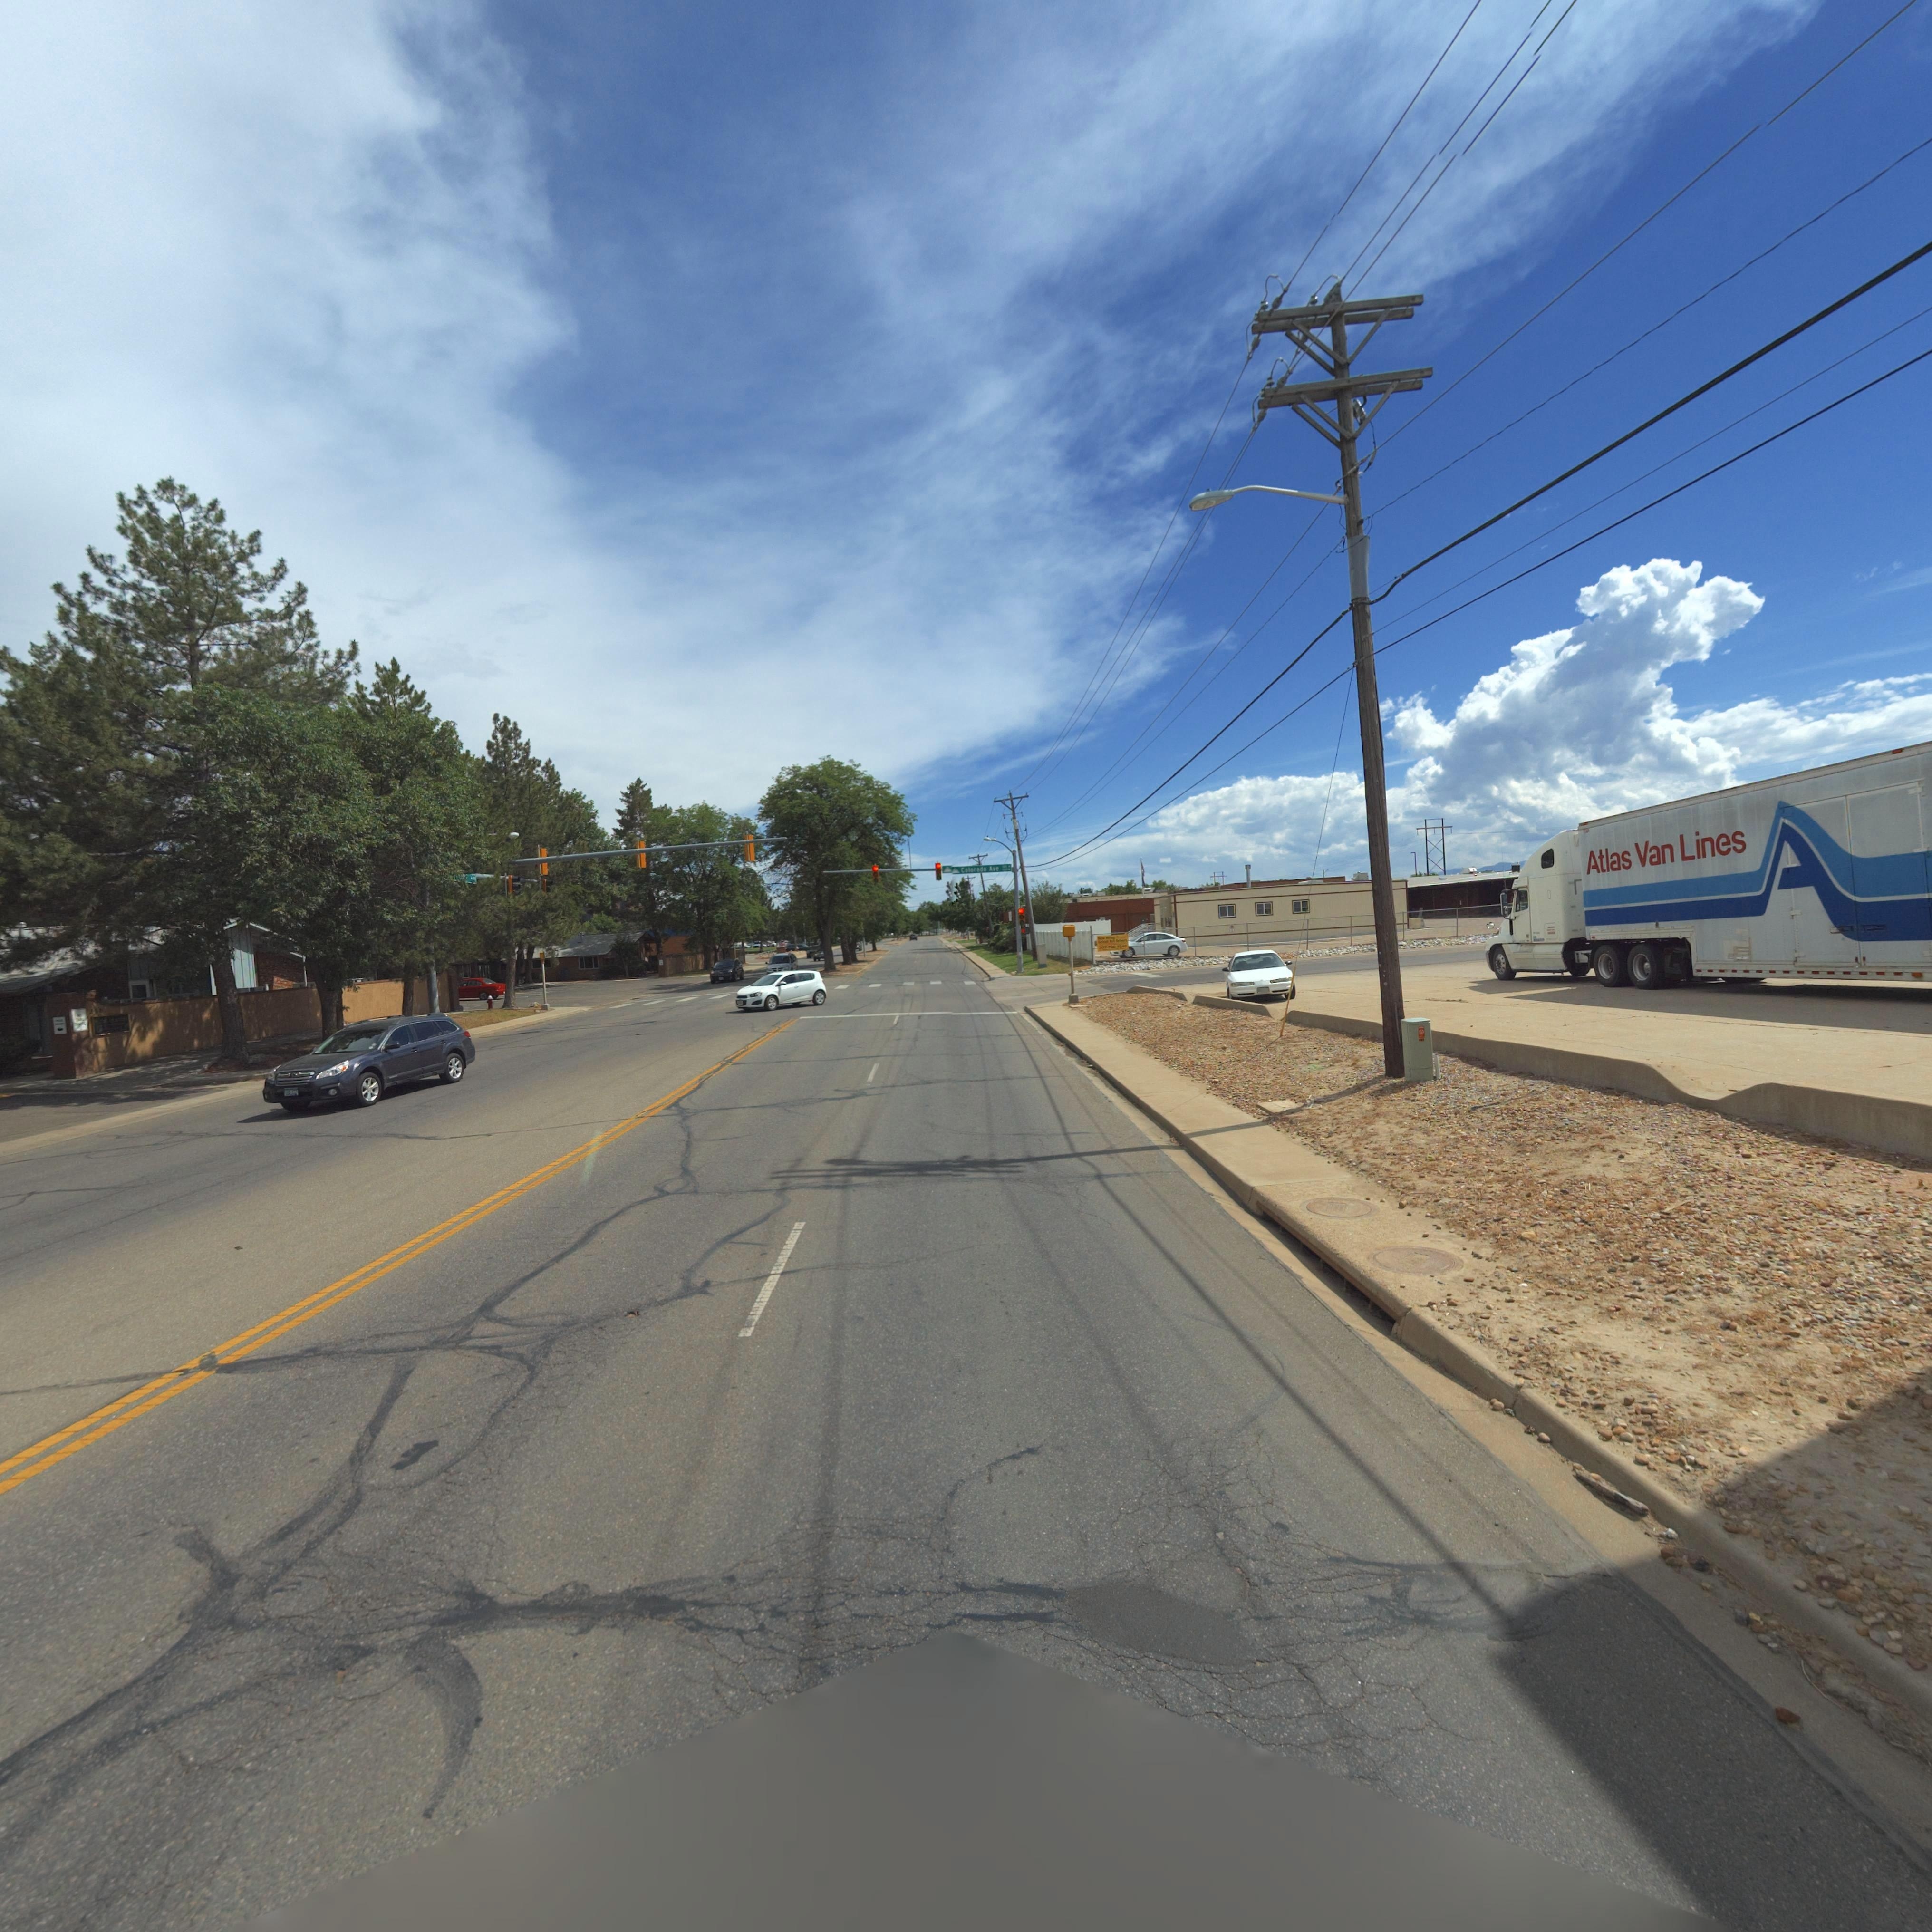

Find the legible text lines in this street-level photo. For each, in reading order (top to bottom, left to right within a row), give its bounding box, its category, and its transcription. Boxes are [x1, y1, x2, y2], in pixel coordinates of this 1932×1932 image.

[961, 866, 1000, 872] StreetName: Colorado Ave